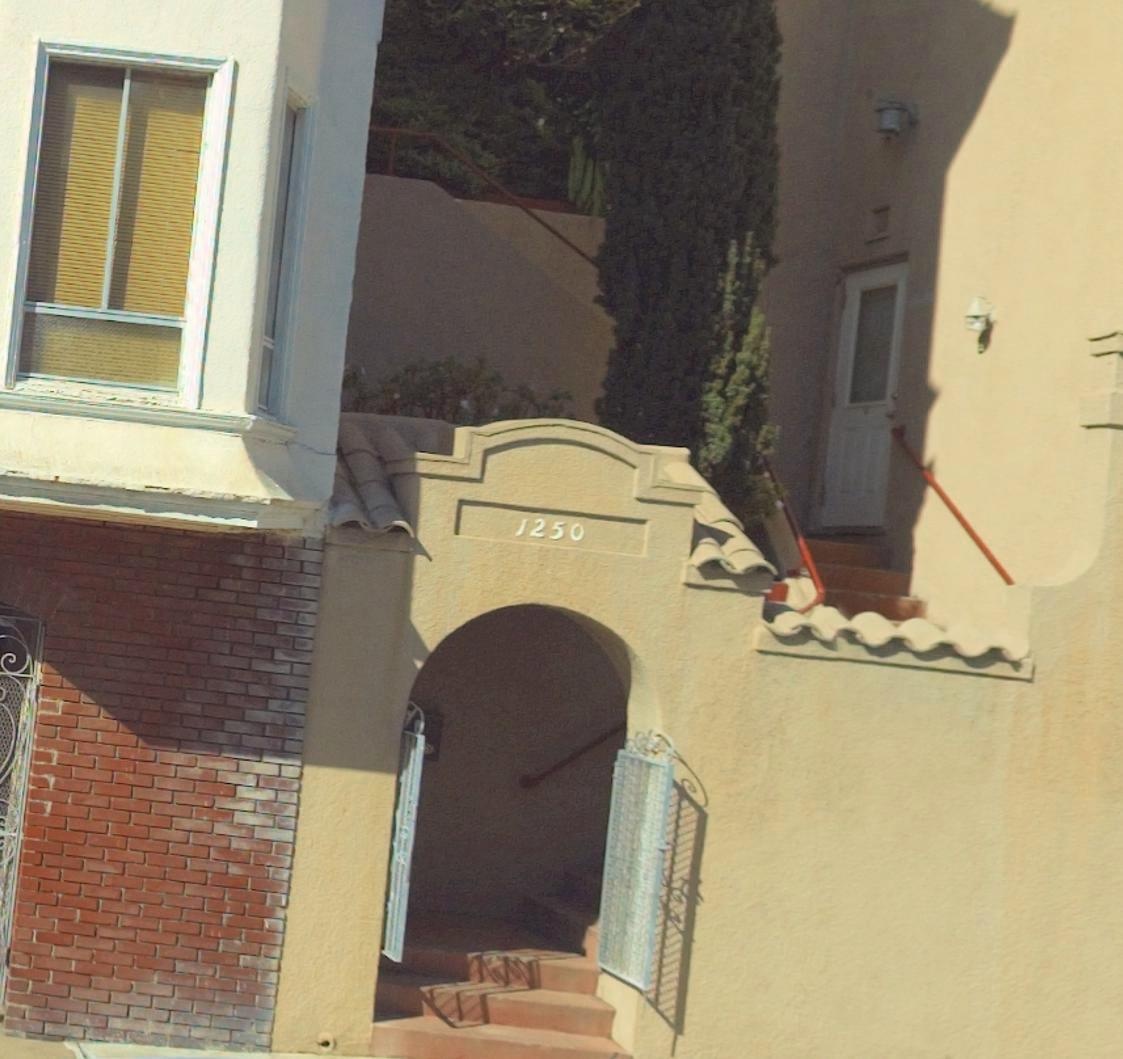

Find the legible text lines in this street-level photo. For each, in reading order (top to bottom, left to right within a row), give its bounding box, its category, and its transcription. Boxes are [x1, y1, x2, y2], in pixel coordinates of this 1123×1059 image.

[511, 516, 586, 543] StreetNumber: 1250